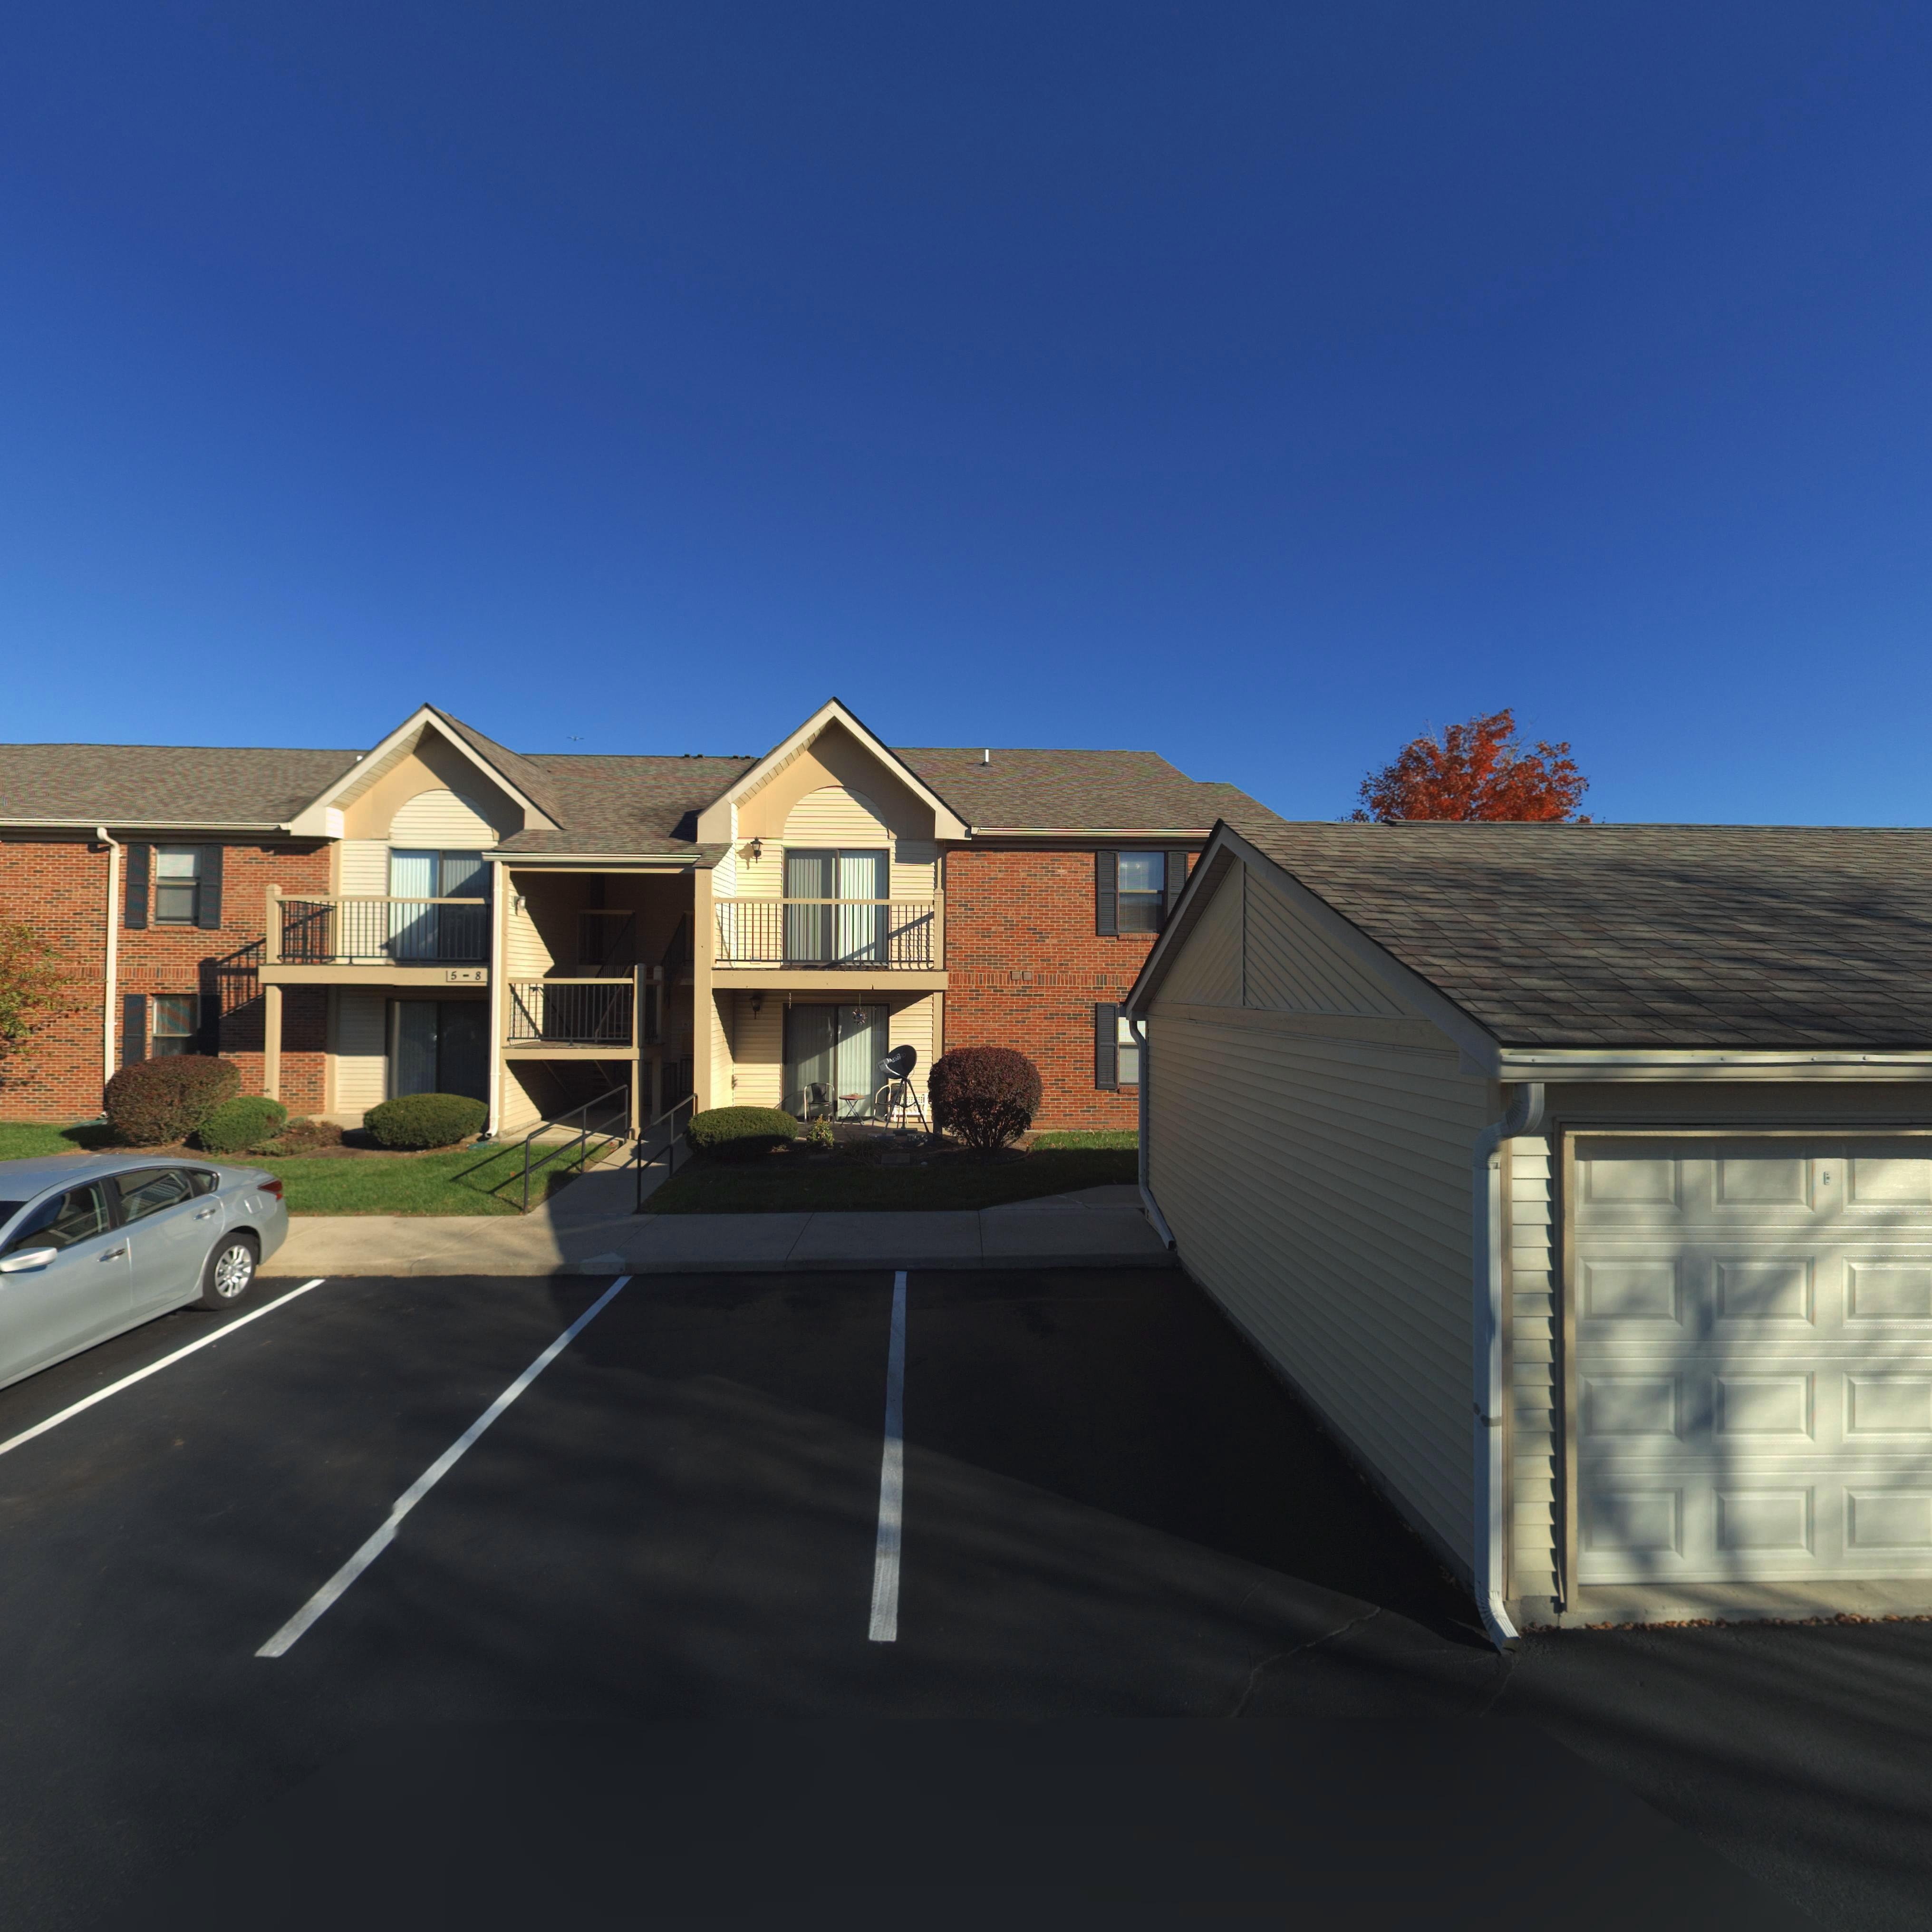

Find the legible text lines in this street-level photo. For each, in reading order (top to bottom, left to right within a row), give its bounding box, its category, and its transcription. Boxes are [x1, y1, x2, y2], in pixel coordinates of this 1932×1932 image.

[449, 970, 482, 980] StreetNumber: 5-8